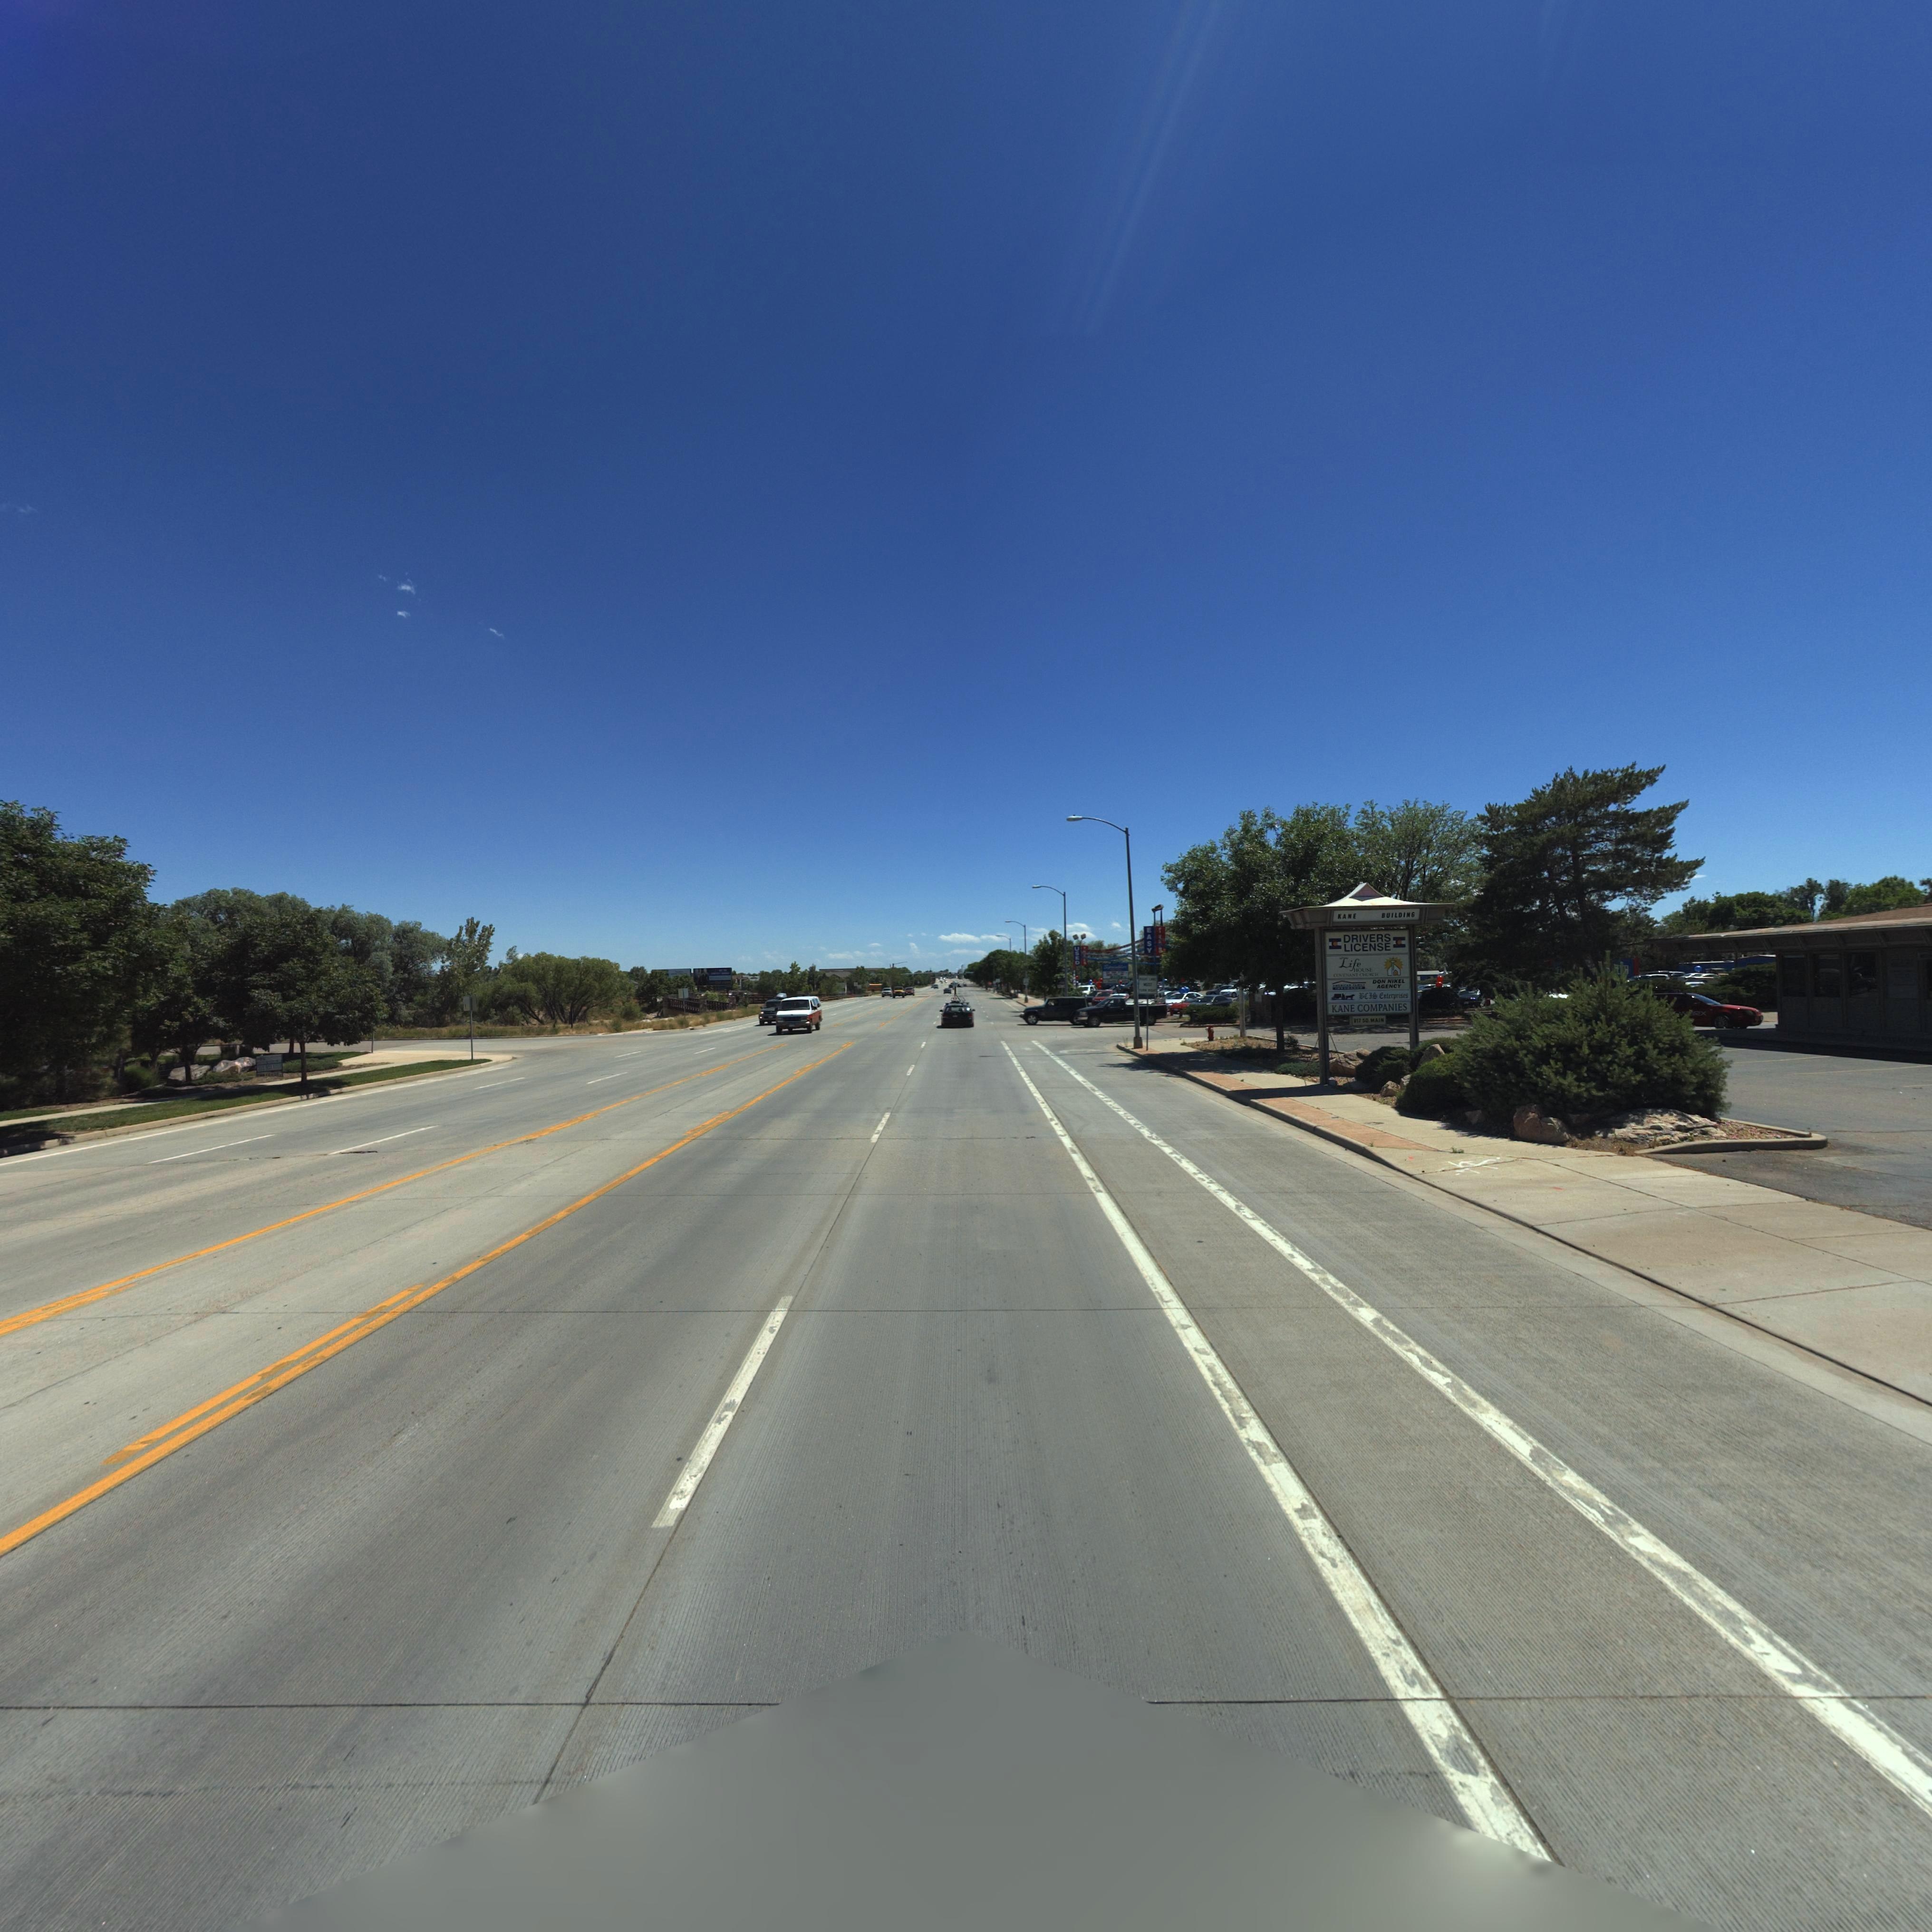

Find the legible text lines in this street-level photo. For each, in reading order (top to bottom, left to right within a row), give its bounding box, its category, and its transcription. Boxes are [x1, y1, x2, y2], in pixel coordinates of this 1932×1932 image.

[1103, 964, 1128, 970] BusinessName: Sp******es
[1339, 956, 1361, 971] BusinessName: Life
[1353, 967, 1372, 973] BusinessName: HOUSE
[1372, 978, 1406, 984] BusinessName: DON NIKEL
[1376, 984, 1402, 989] BusinessName: AGENCY
[1357, 992, 1409, 1000] BusinessName: BCIS Enterprises
[1332, 1003, 1407, 1013] BusinessName: KANE COMPANIES
[1353, 1017, 1361, 1023] StreetNumber: 817
[1362, 1017, 1383, 1023] StreetName: S0 MAIN